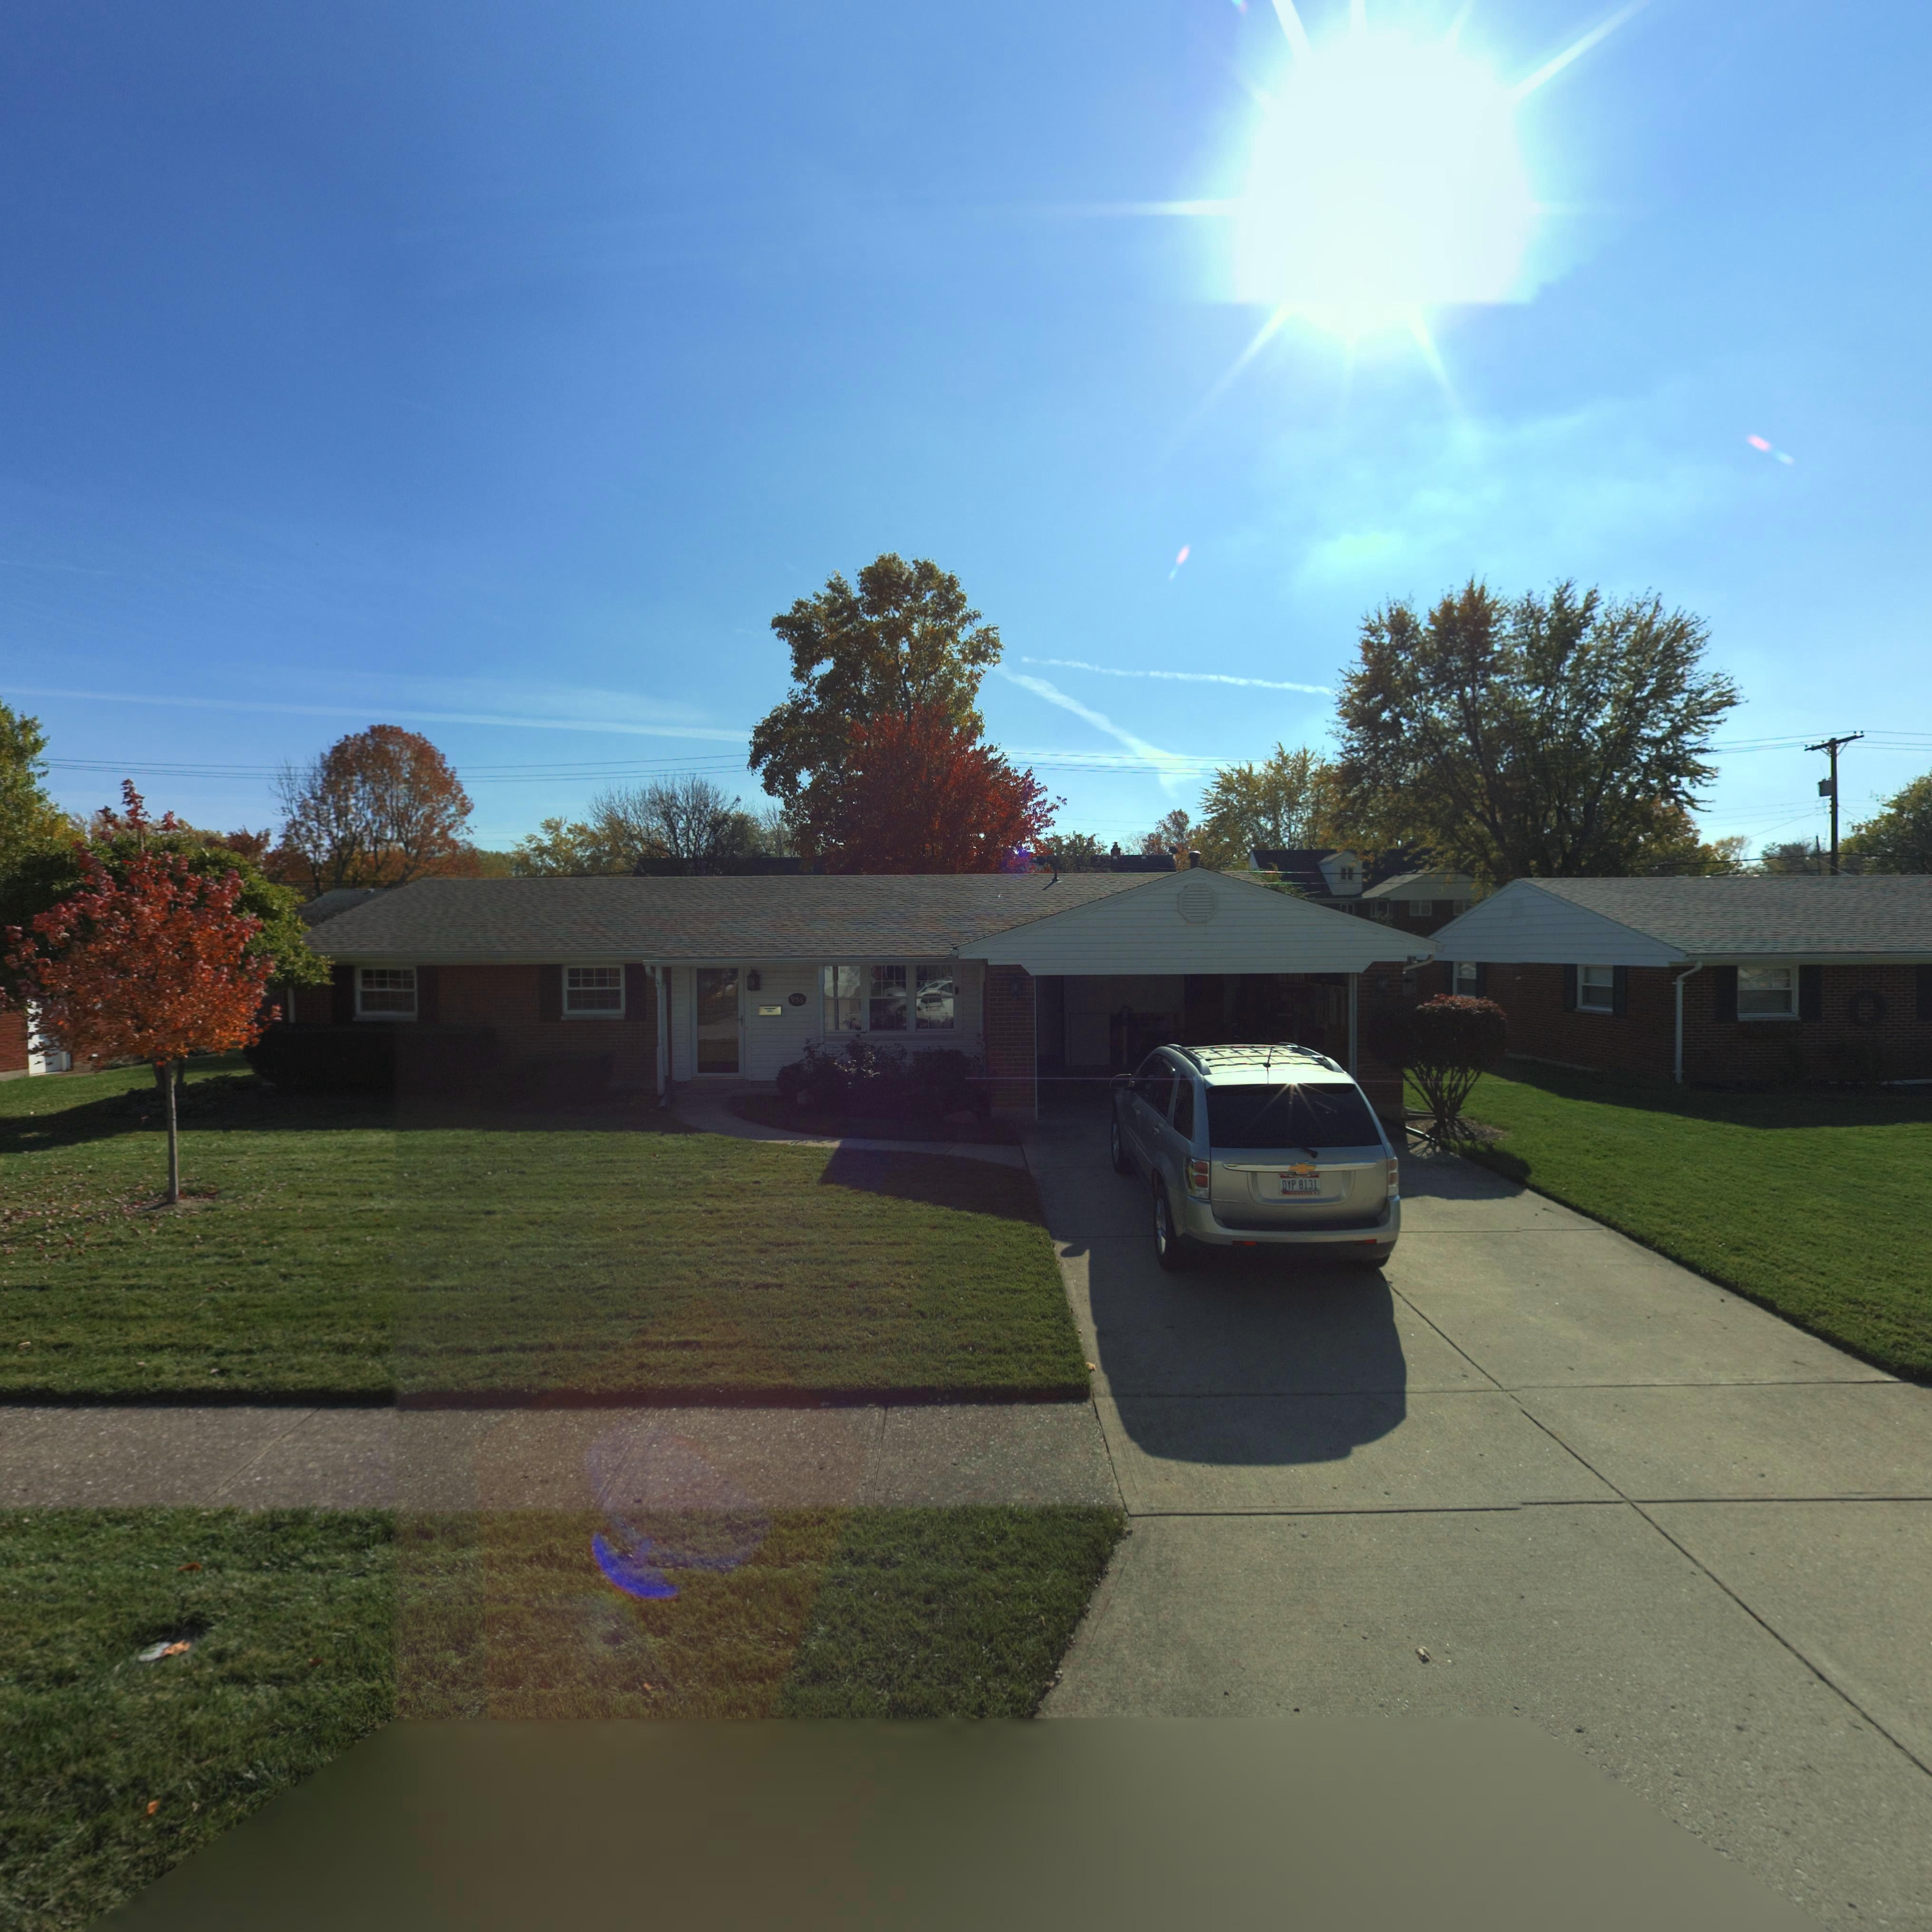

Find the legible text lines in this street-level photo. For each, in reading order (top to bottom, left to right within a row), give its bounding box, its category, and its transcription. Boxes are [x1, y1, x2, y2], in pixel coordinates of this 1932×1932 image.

[790, 995, 804, 1005] StreetNumber: 956
[1281, 1178, 1318, 1192] None: DYP 8131